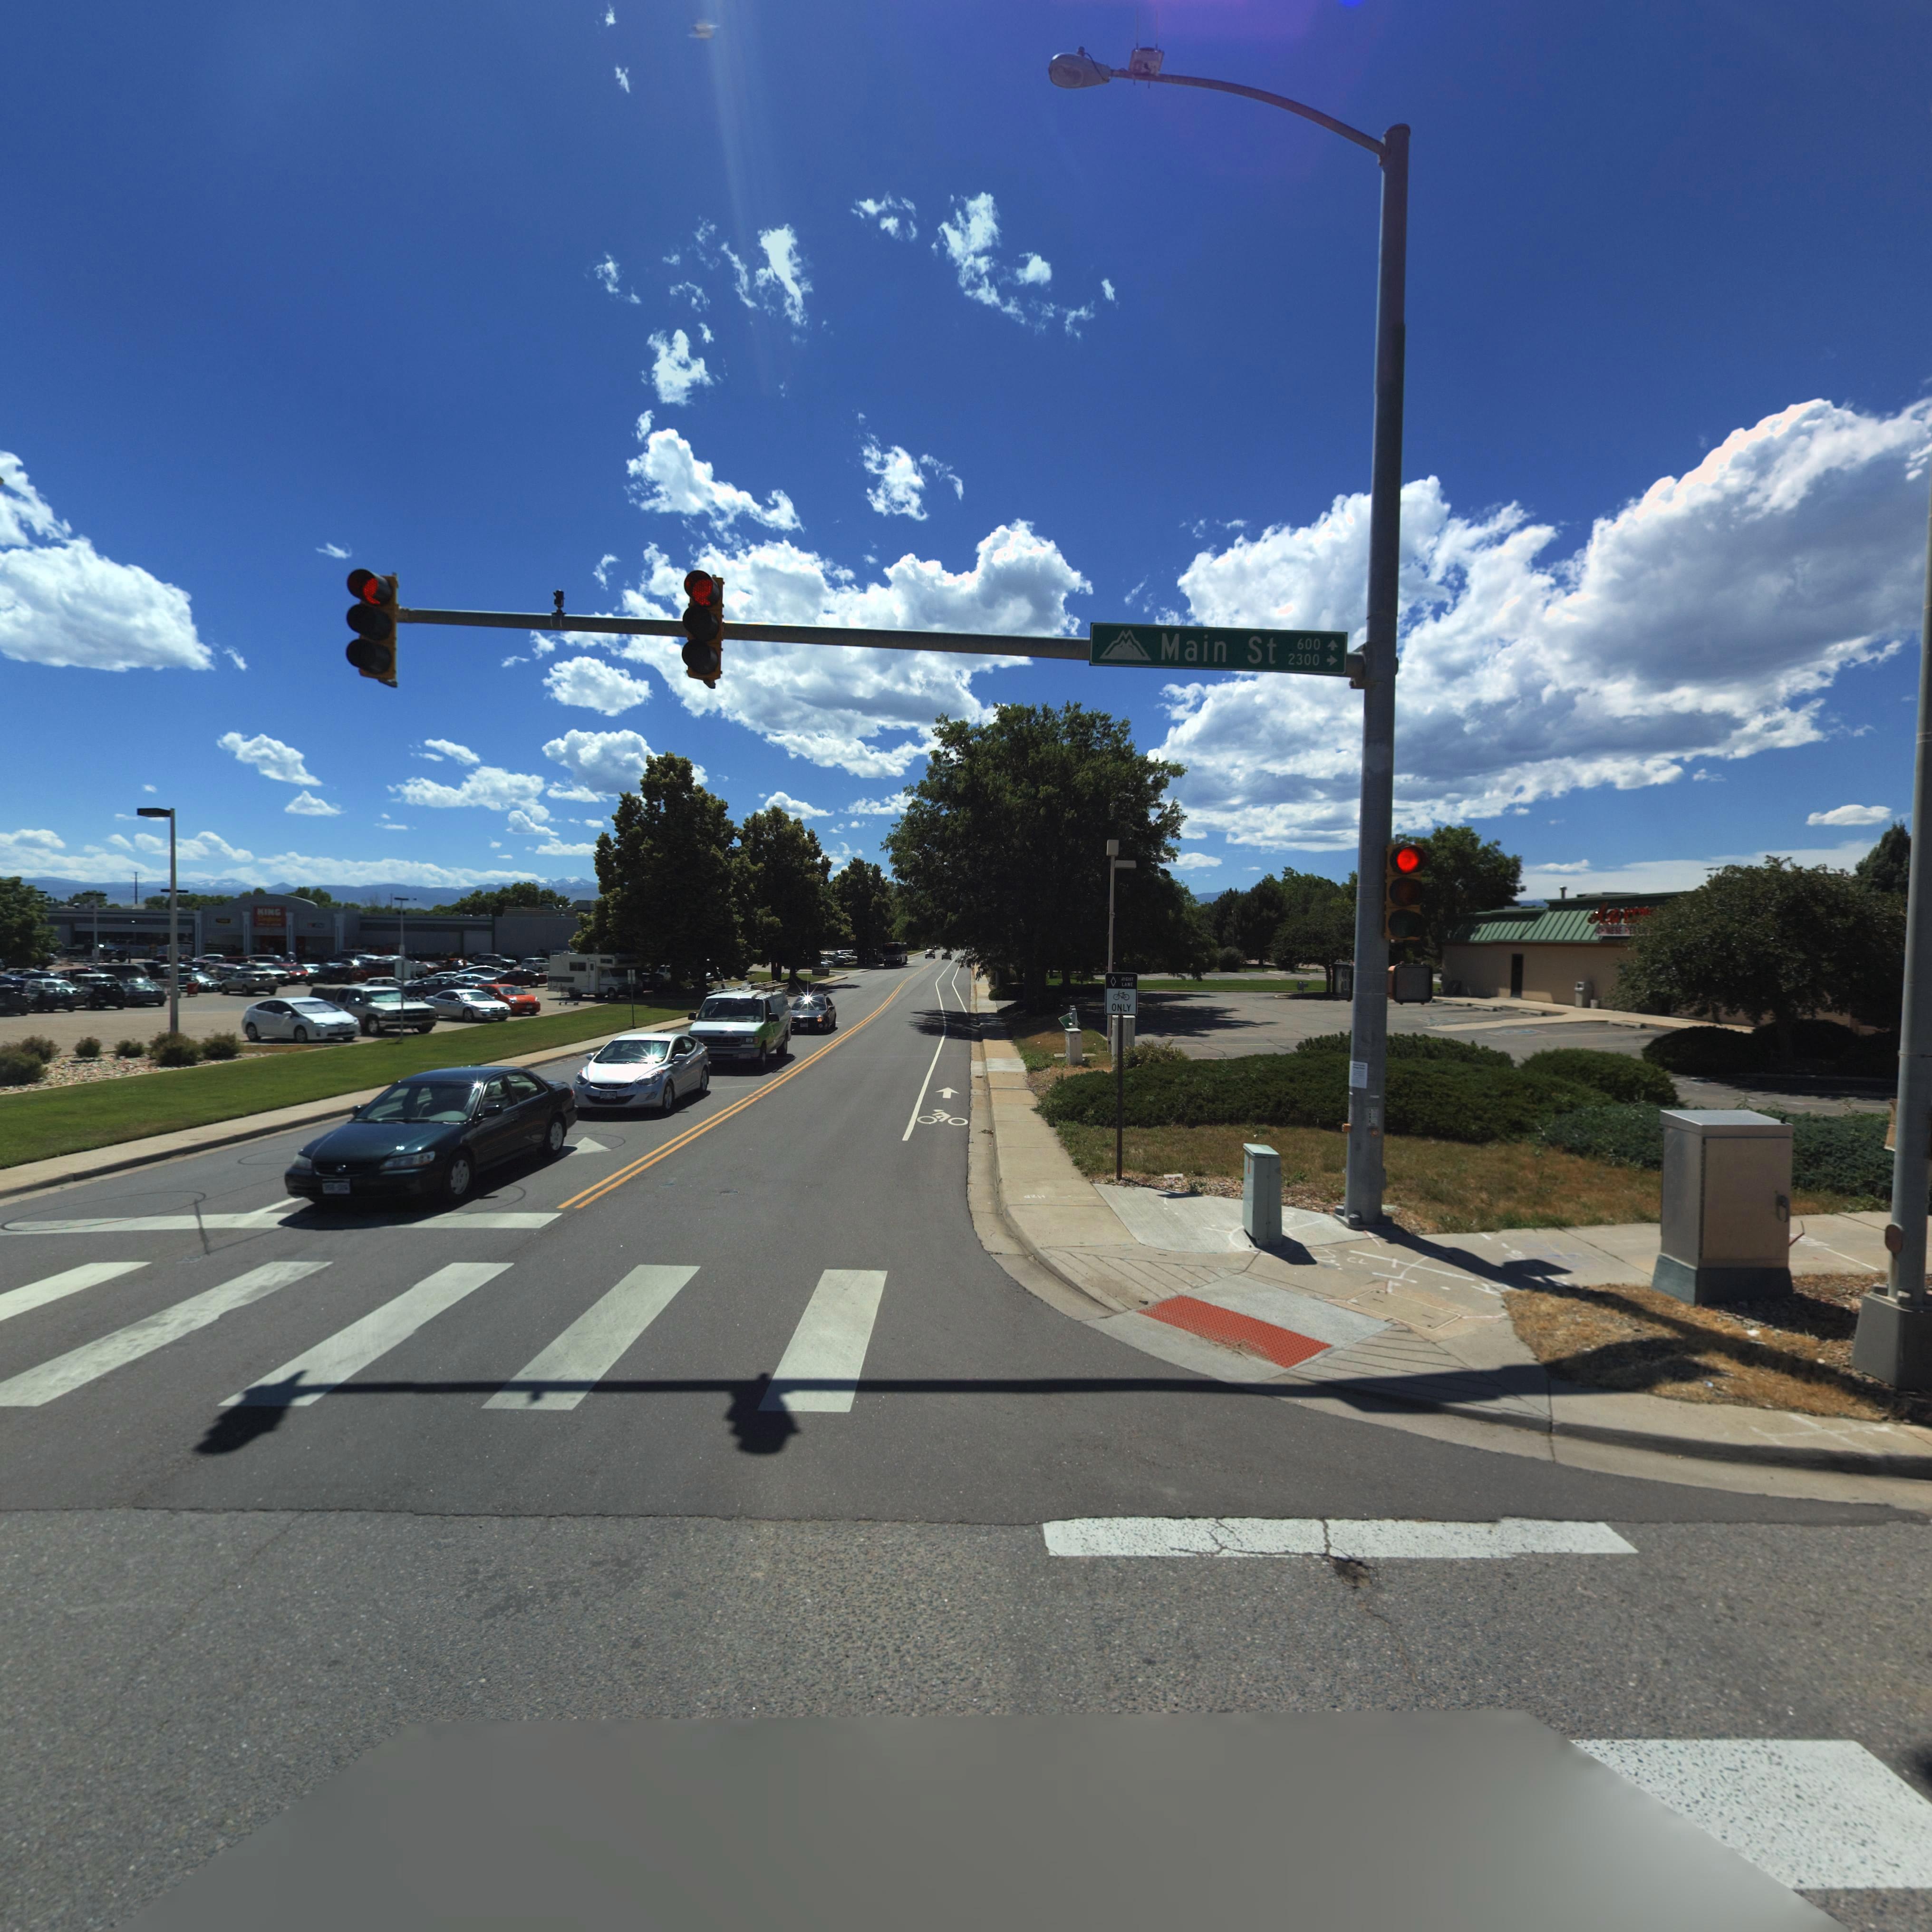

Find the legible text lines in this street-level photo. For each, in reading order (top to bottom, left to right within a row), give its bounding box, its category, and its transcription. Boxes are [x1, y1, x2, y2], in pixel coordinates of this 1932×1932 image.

[1160, 632, 1277, 664] StreetName: Main St
[1296, 638, 1321, 650] StreetNumberRange: 600
[1287, 653, 1338, 667] StreetNumberRange: 2300 ->
[257, 908, 280, 916] BusinessName: KING
[1586, 900, 1654, 926] BusinessName: A** ****